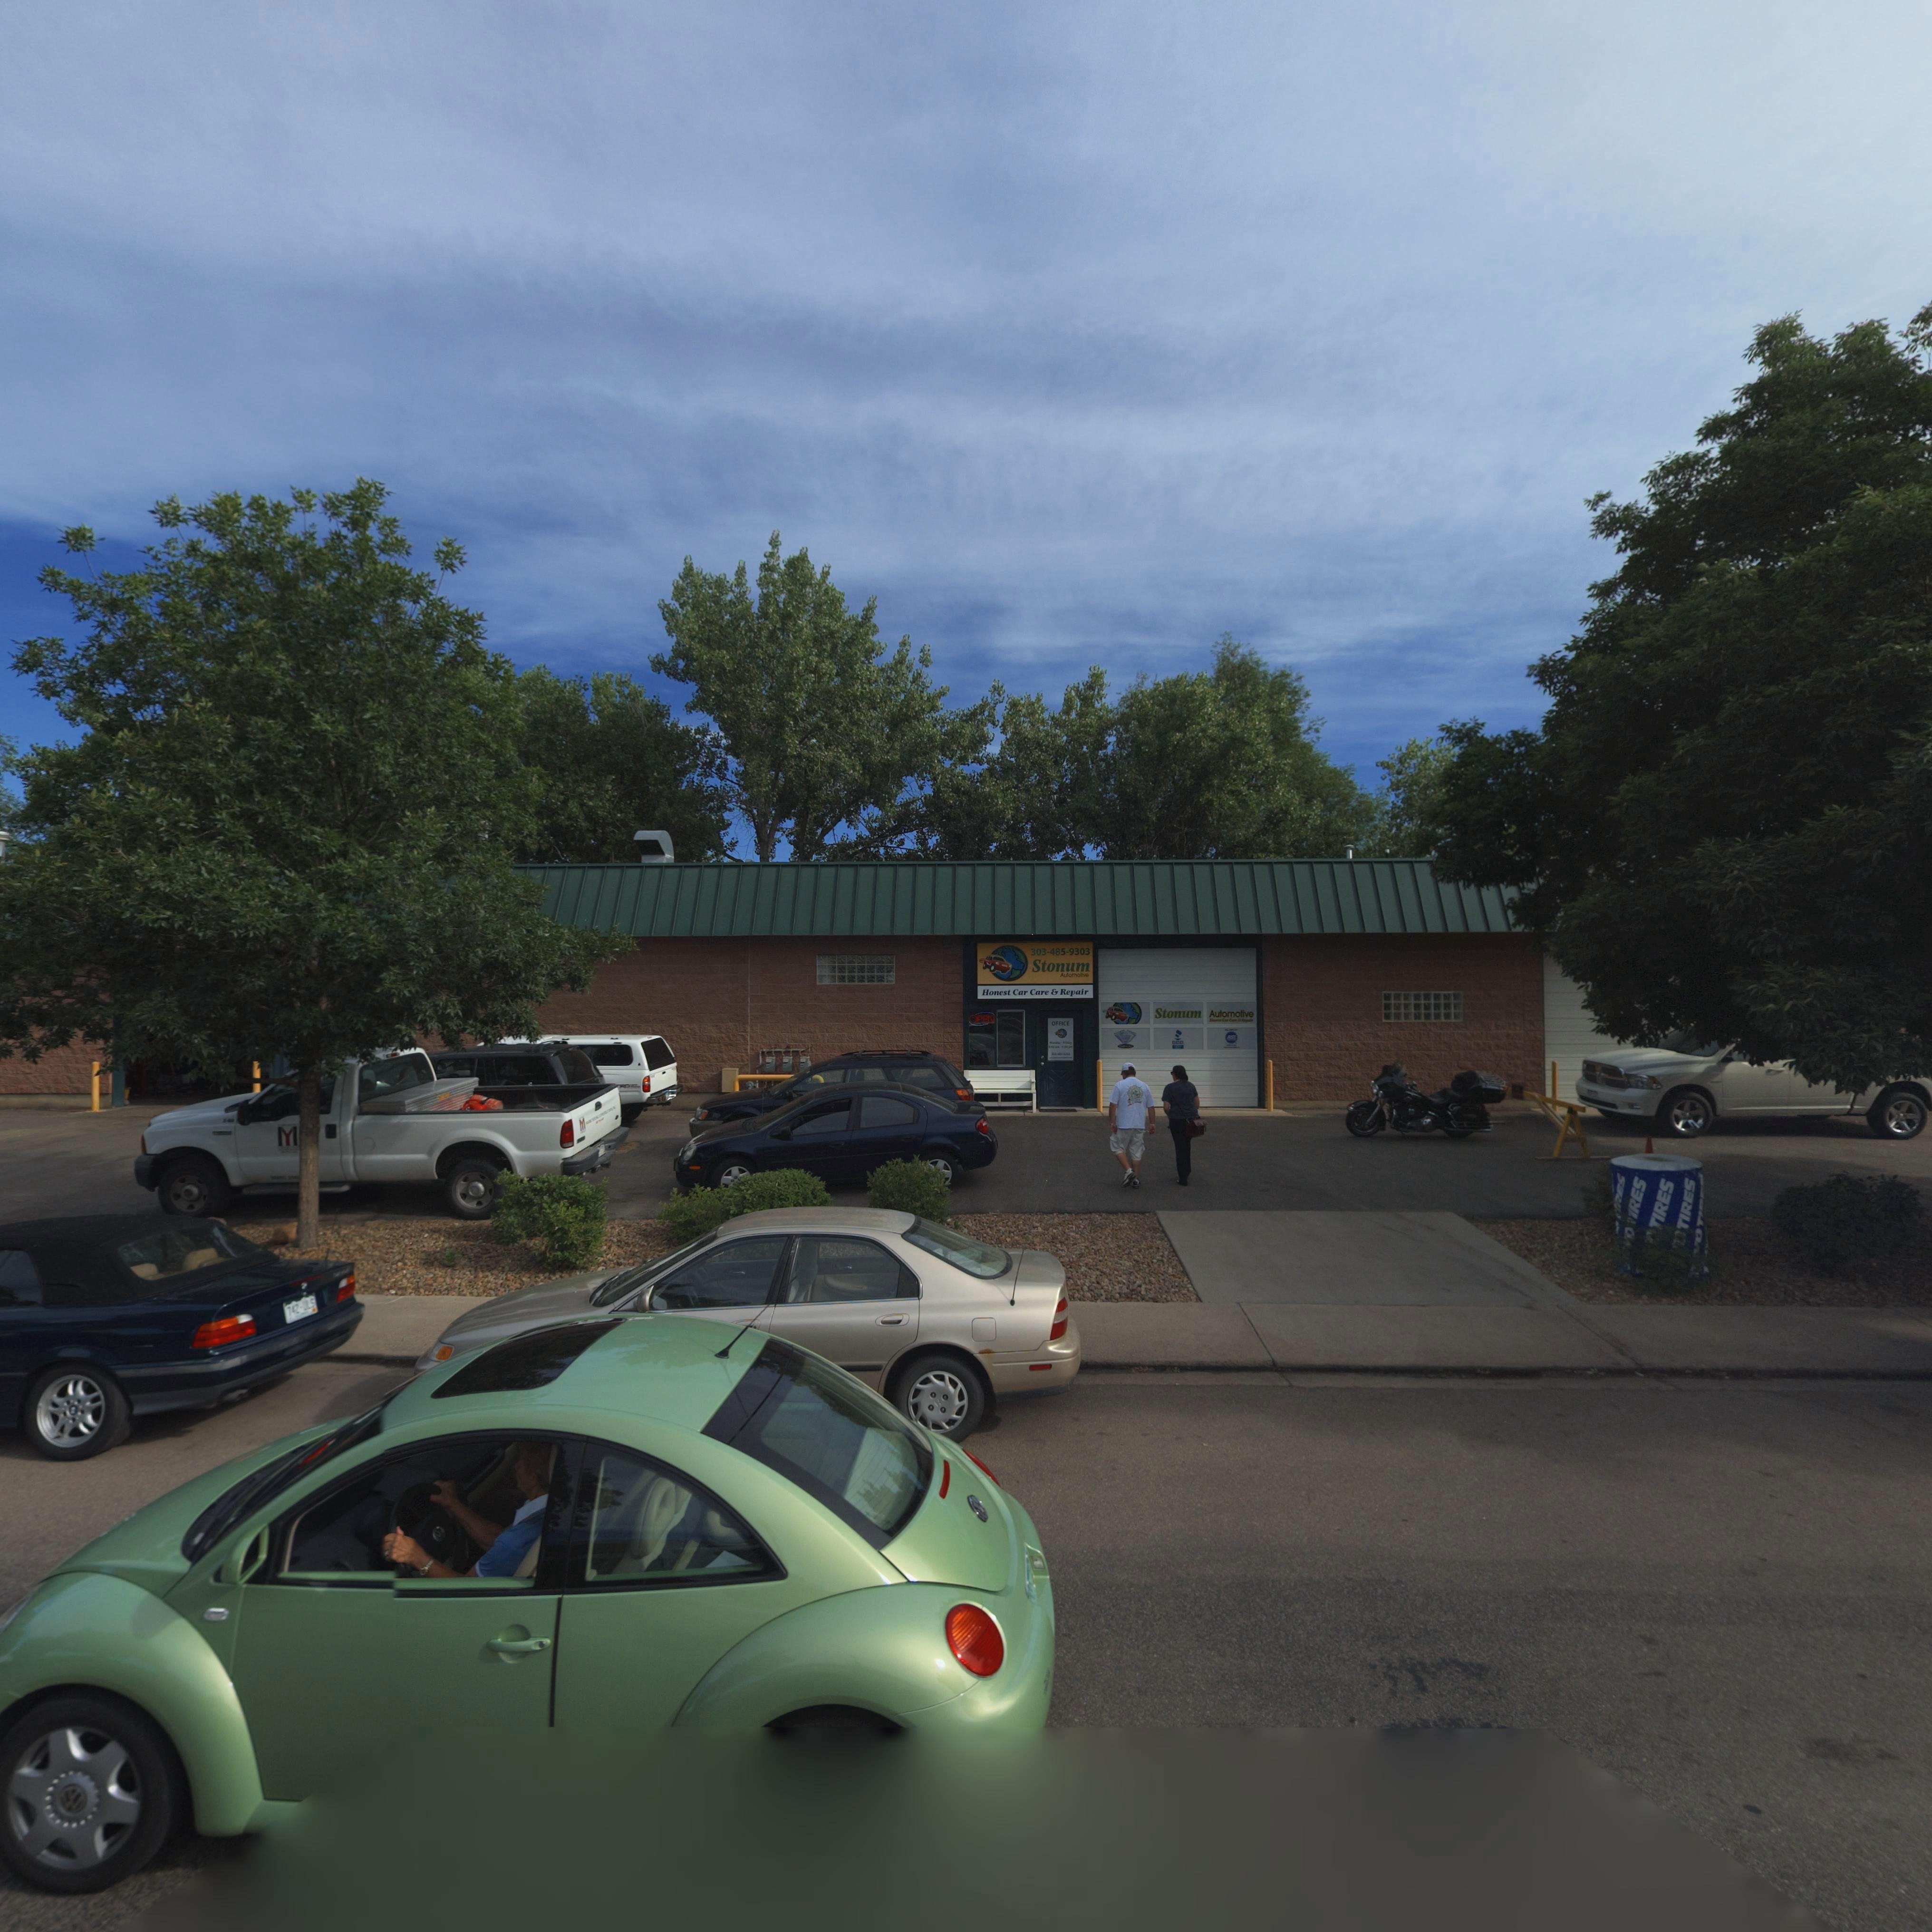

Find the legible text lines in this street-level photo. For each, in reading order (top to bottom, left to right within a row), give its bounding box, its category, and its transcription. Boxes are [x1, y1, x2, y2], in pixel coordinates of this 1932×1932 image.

[1031, 959, 1090, 972] BusinessName: Stonum
[1060, 972, 1089, 977] BusinessName: A**omo**v*
[1154, 1007, 1201, 1019] BusinessName: Stonum
[1209, 1009, 1254, 1018] BusinessName: Automotive